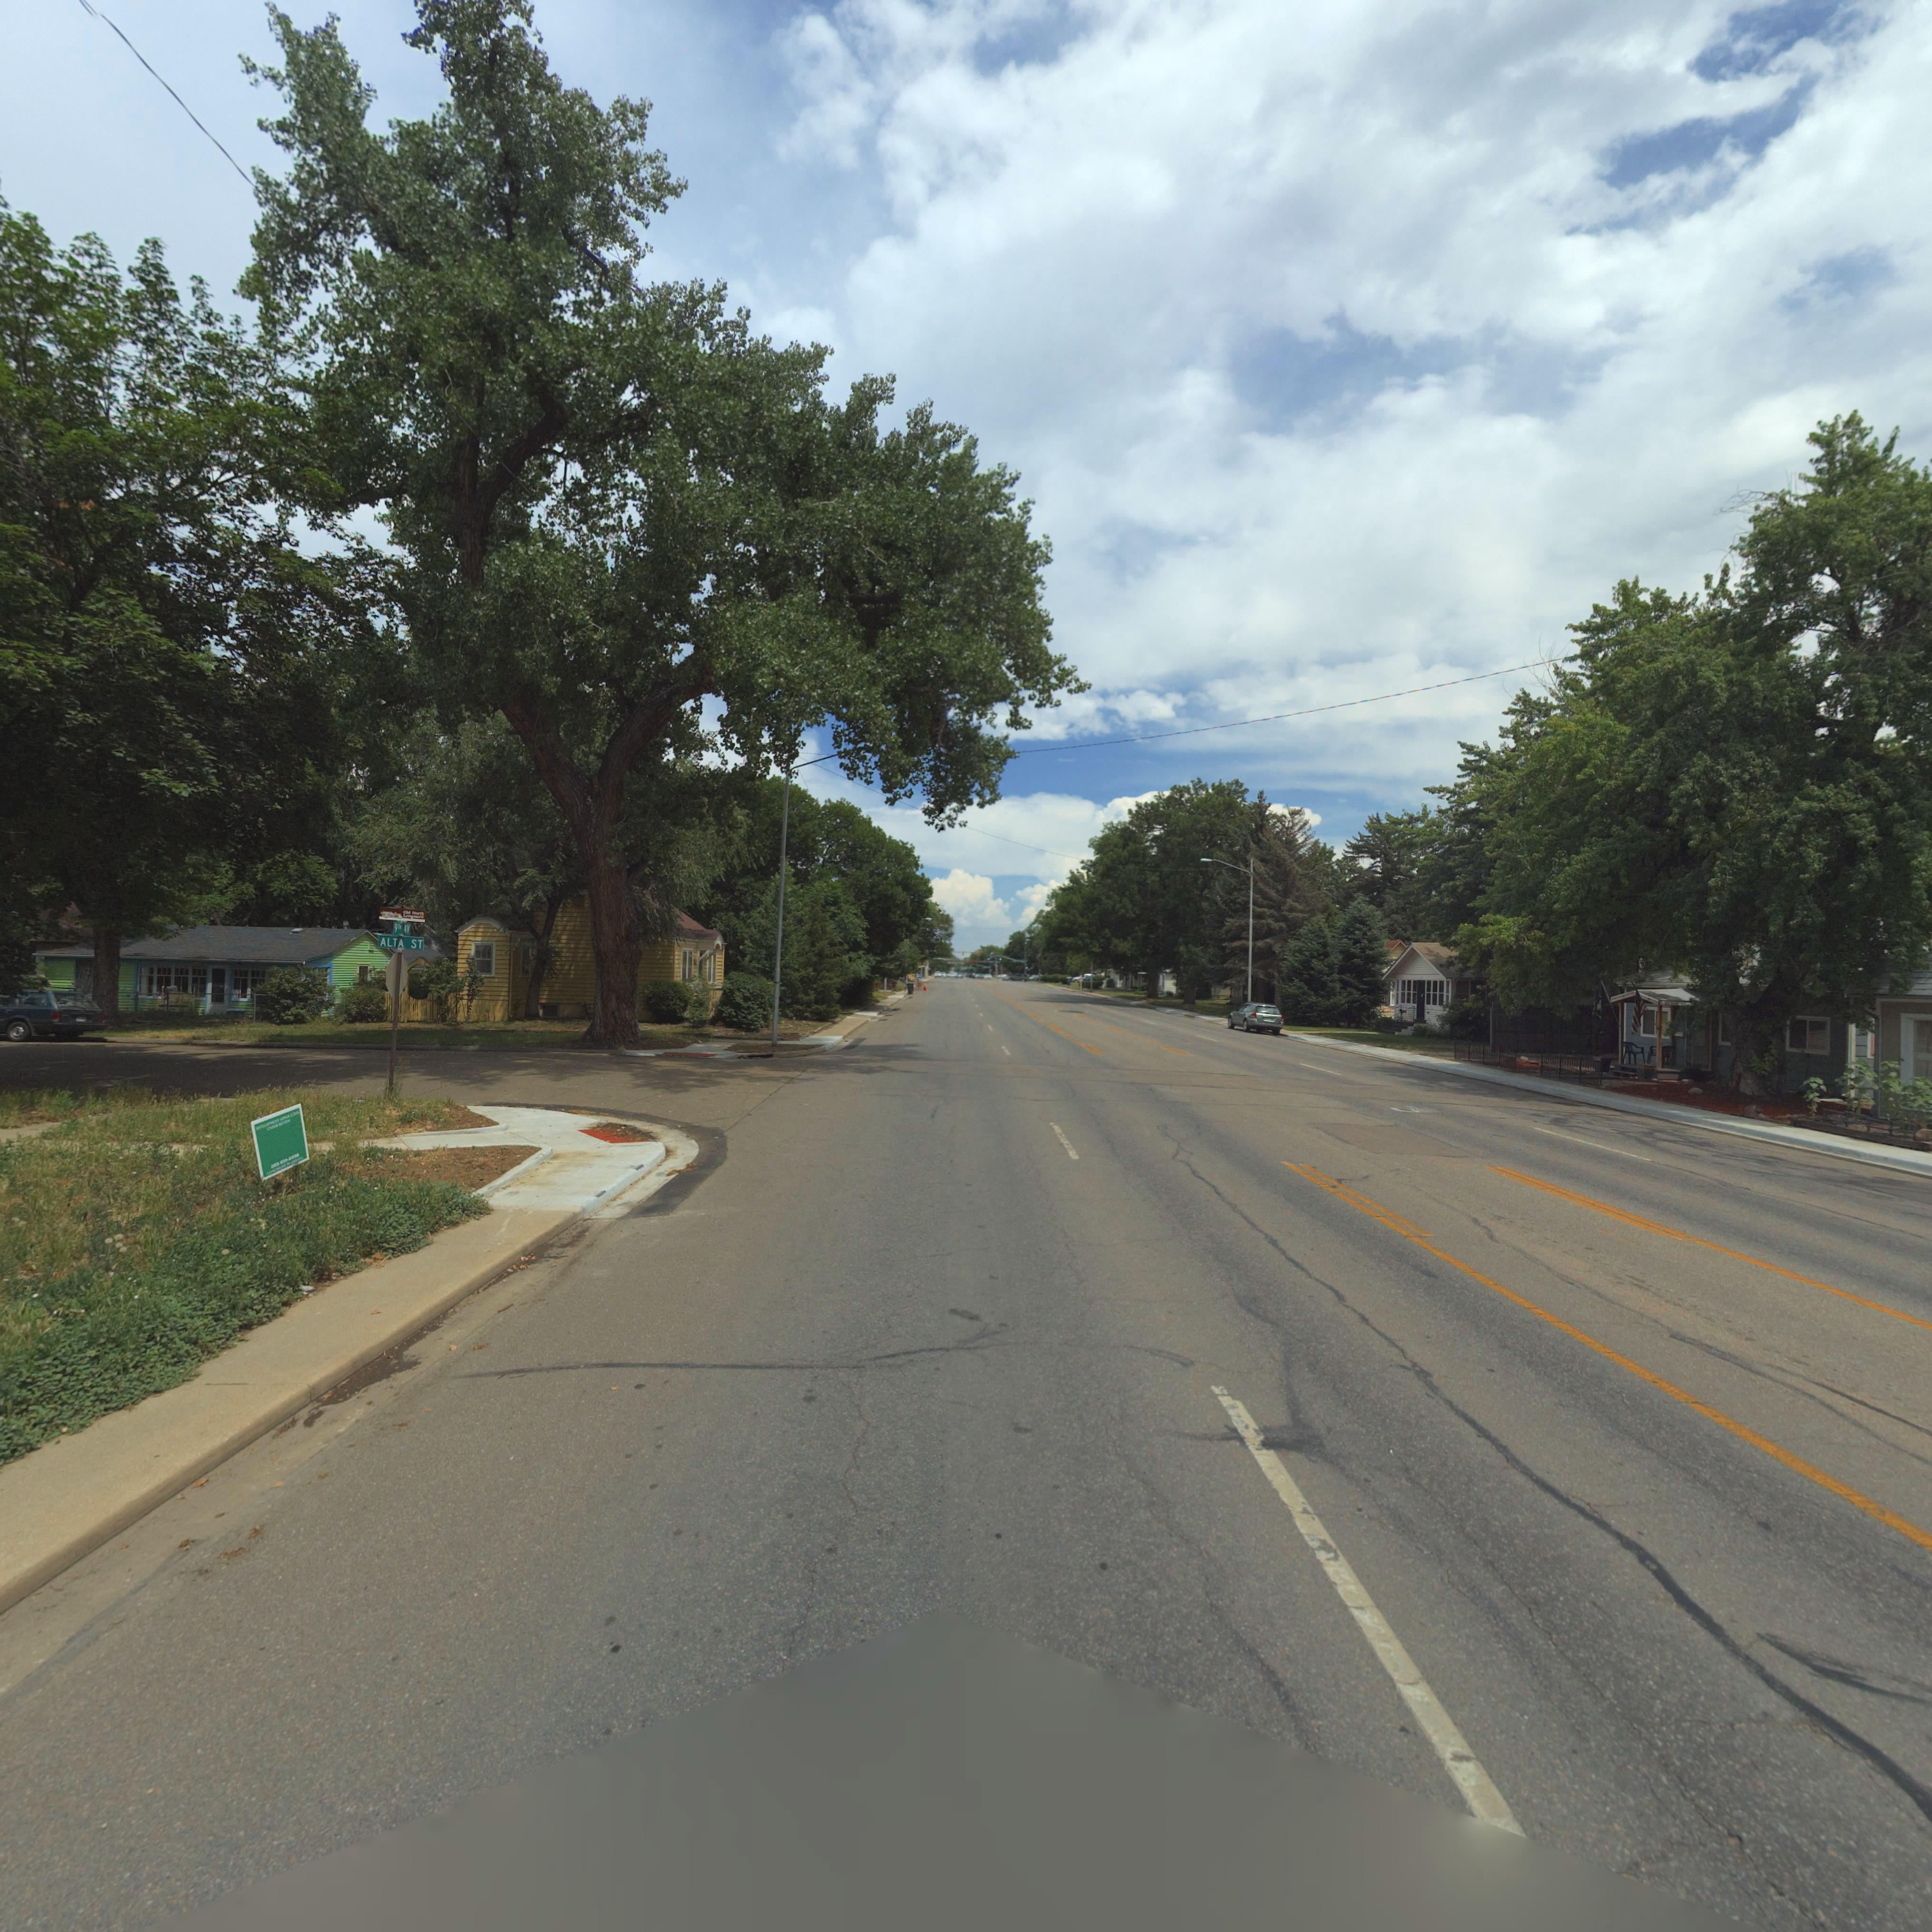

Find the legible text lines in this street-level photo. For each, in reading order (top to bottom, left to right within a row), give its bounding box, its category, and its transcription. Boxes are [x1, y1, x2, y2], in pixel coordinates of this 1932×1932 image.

[394, 922, 410, 934] StreetName: 9TH AV
[379, 937, 423, 948] StreetName: ALTA ST